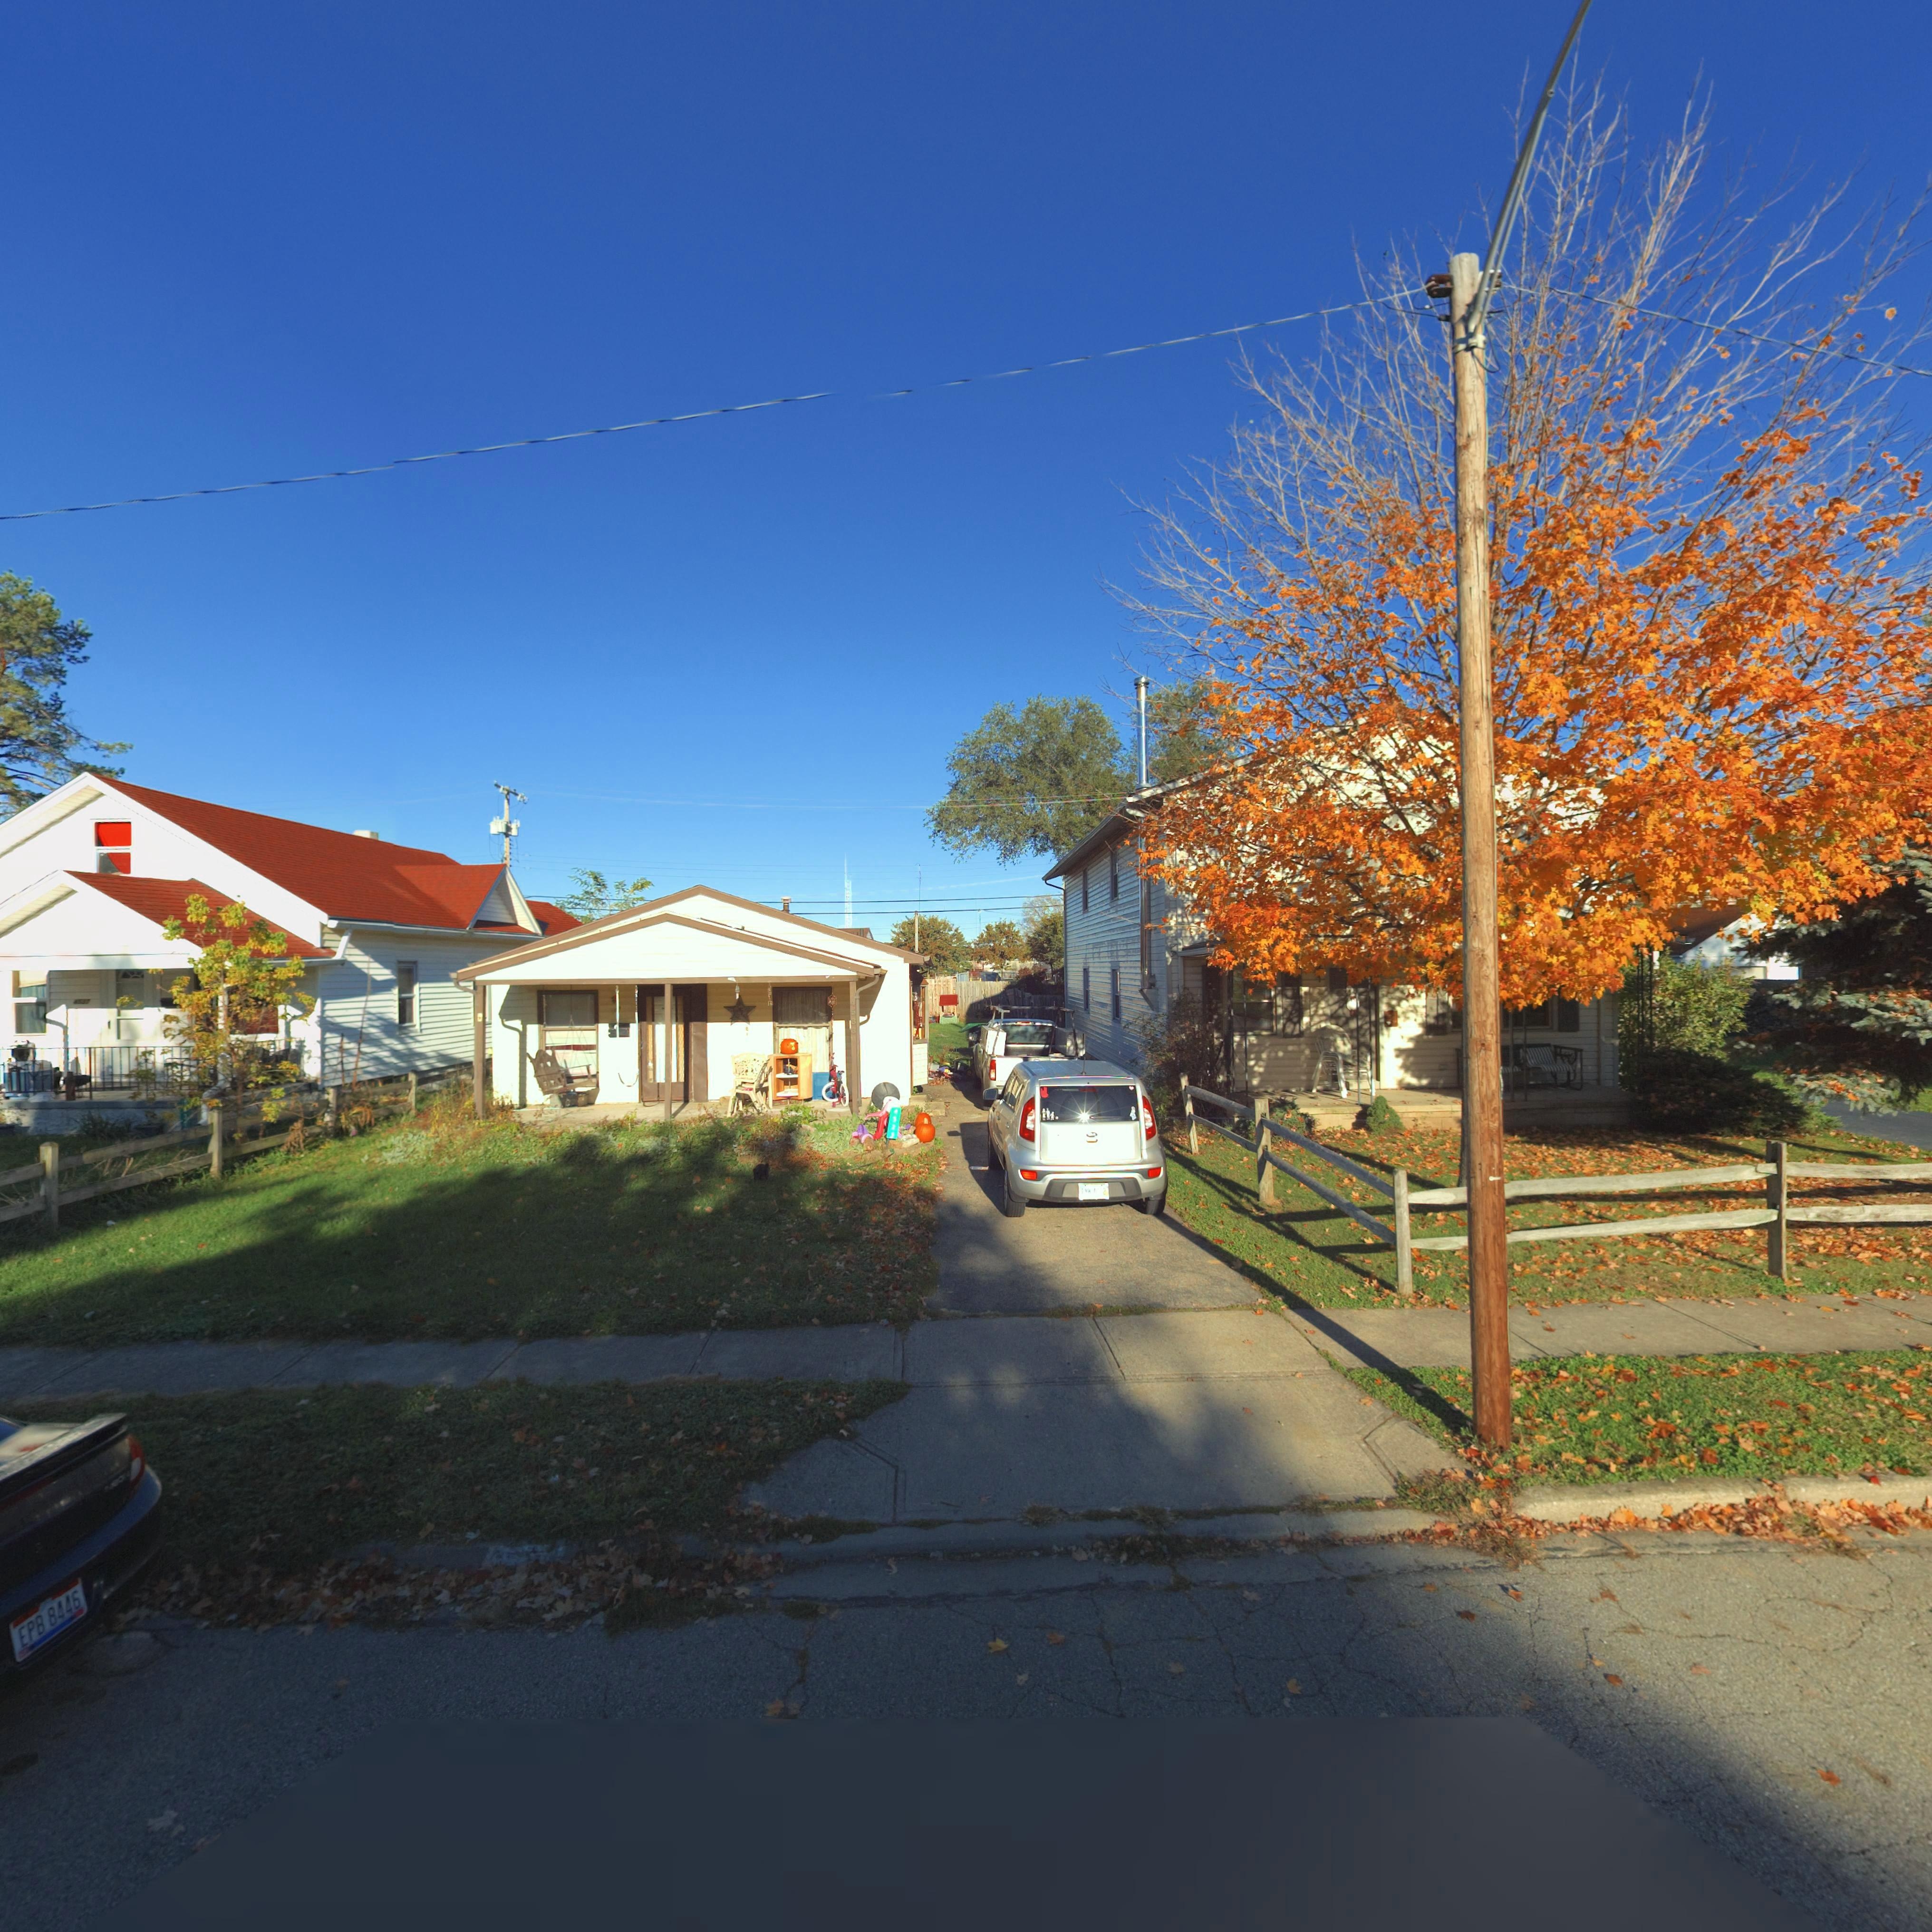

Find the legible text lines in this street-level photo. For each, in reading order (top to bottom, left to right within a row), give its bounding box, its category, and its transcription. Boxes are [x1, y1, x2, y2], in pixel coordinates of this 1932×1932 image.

[850, 999, 856, 1035] StreetNumber: 4533